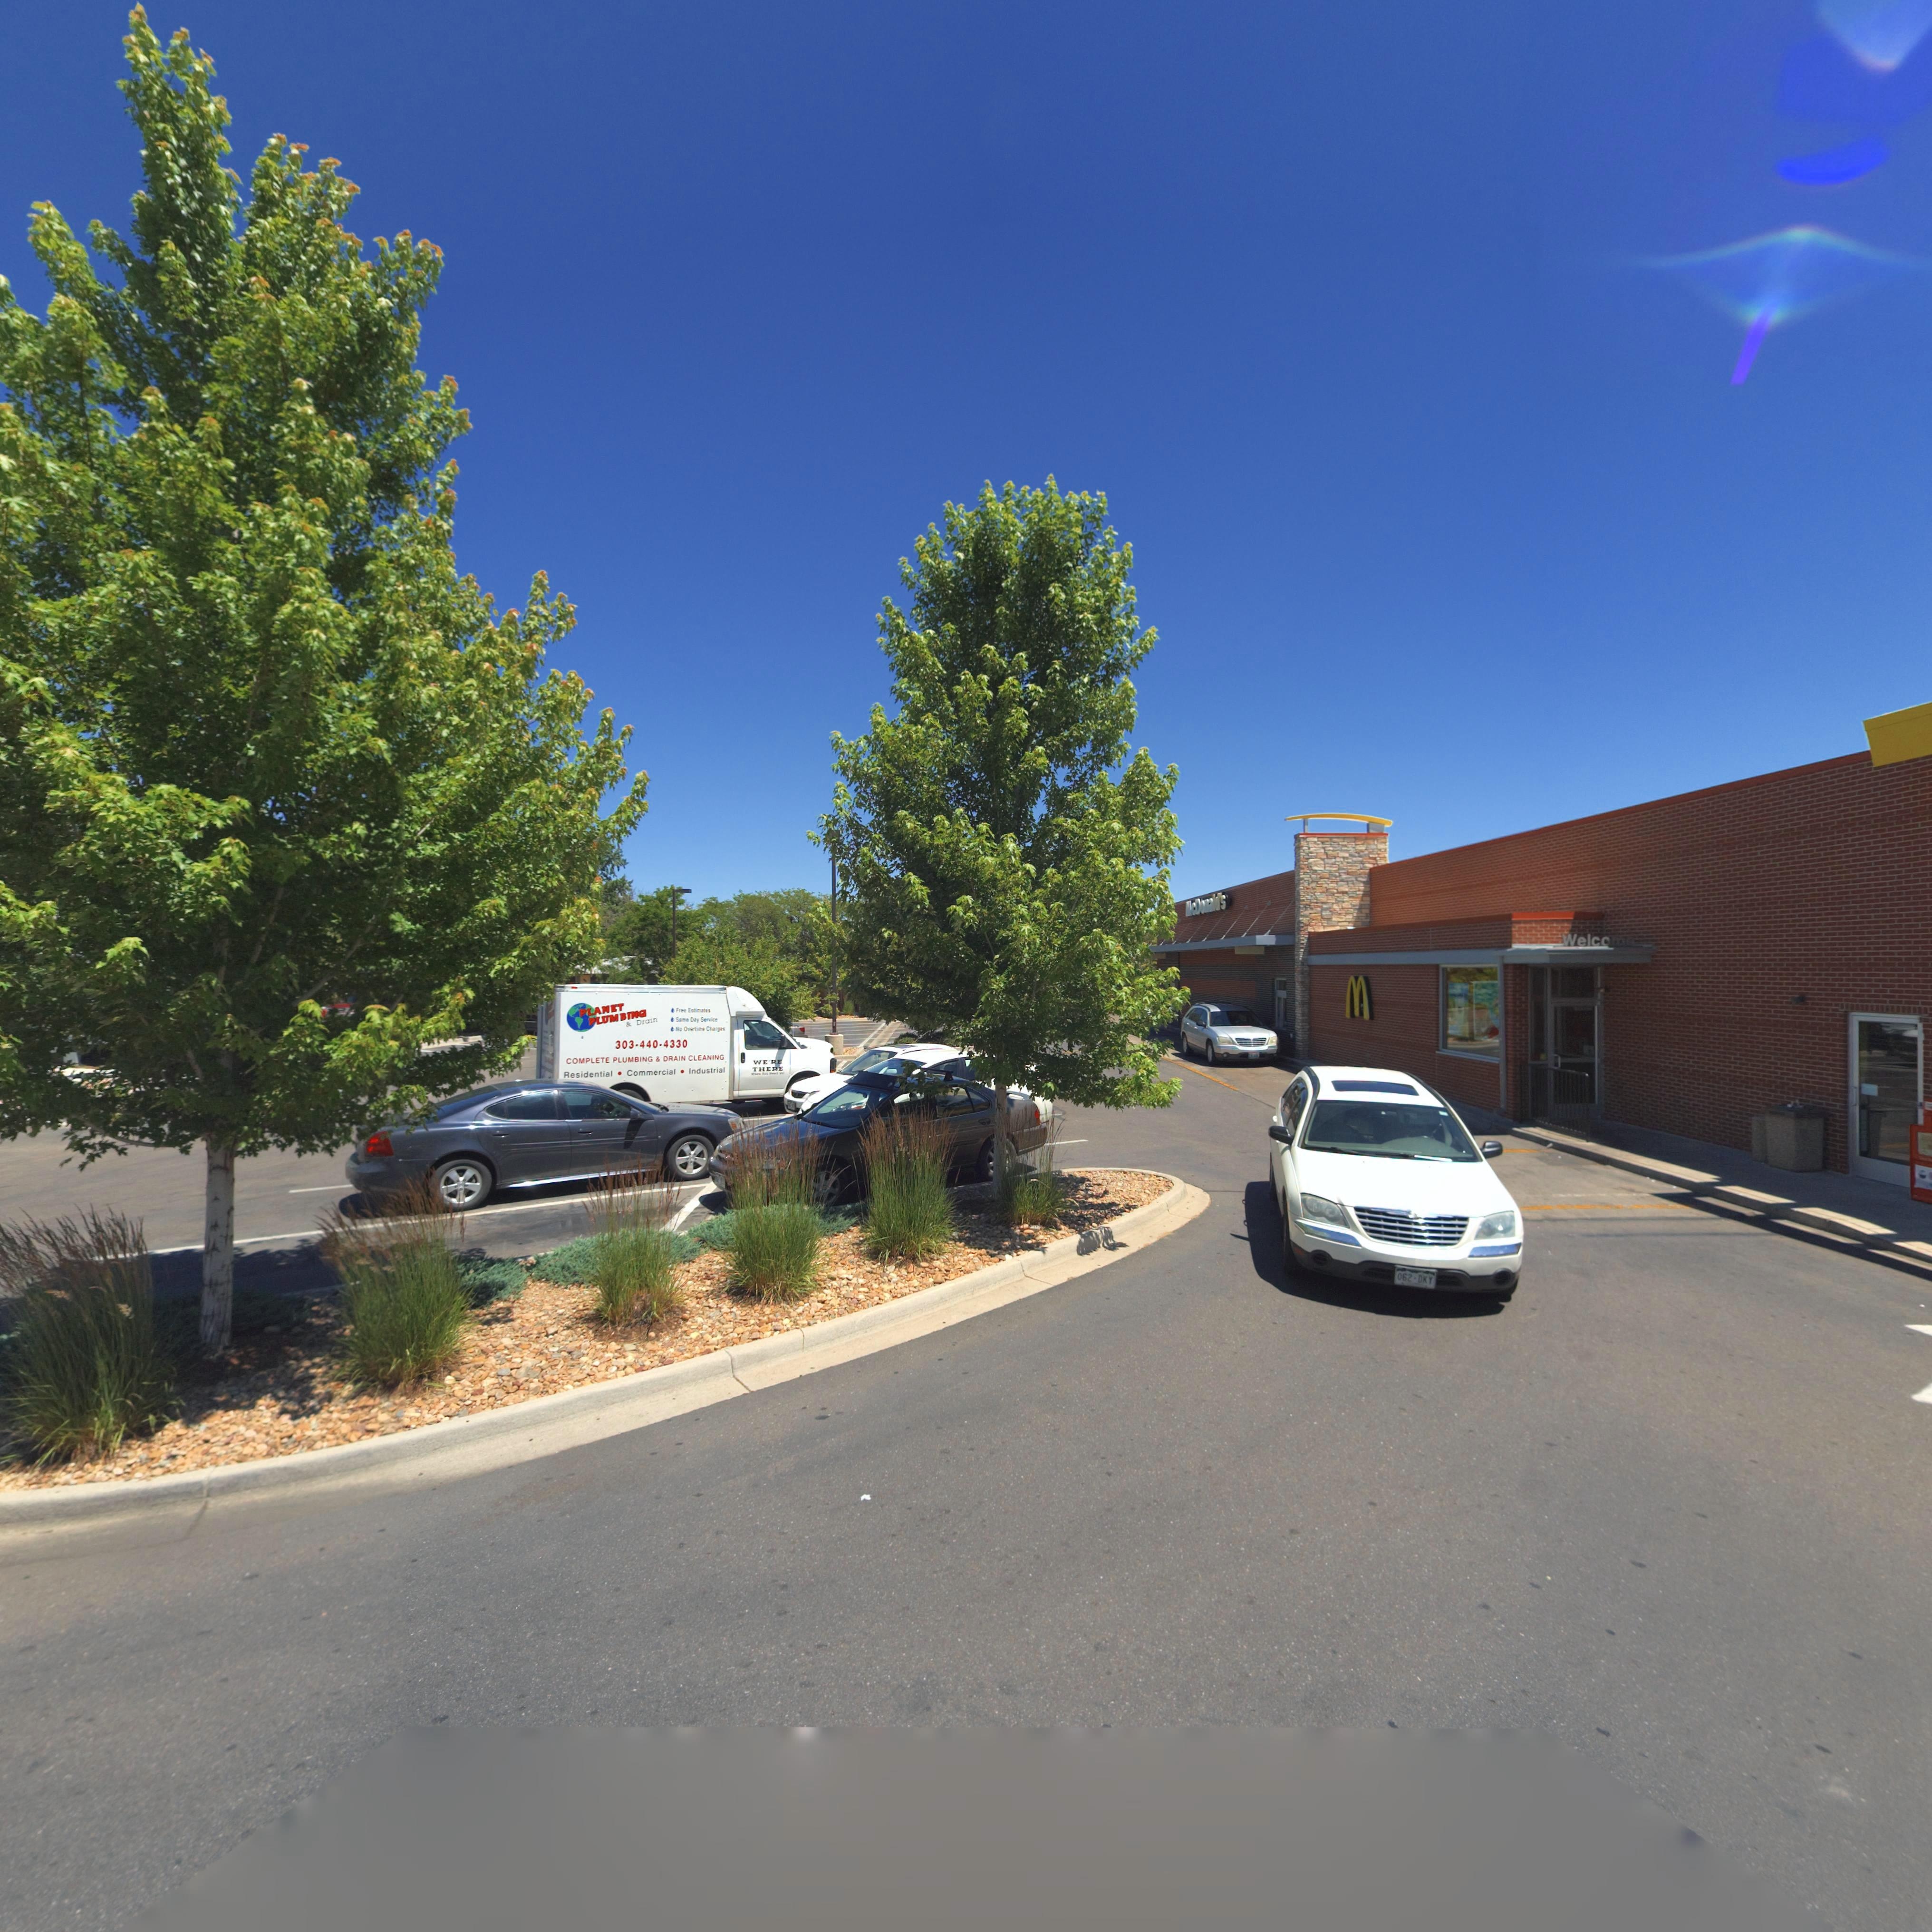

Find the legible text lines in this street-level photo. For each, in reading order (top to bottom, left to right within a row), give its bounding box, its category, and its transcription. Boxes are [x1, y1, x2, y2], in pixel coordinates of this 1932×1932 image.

[1185, 891, 1228, 918] BusinessName: McDonald's